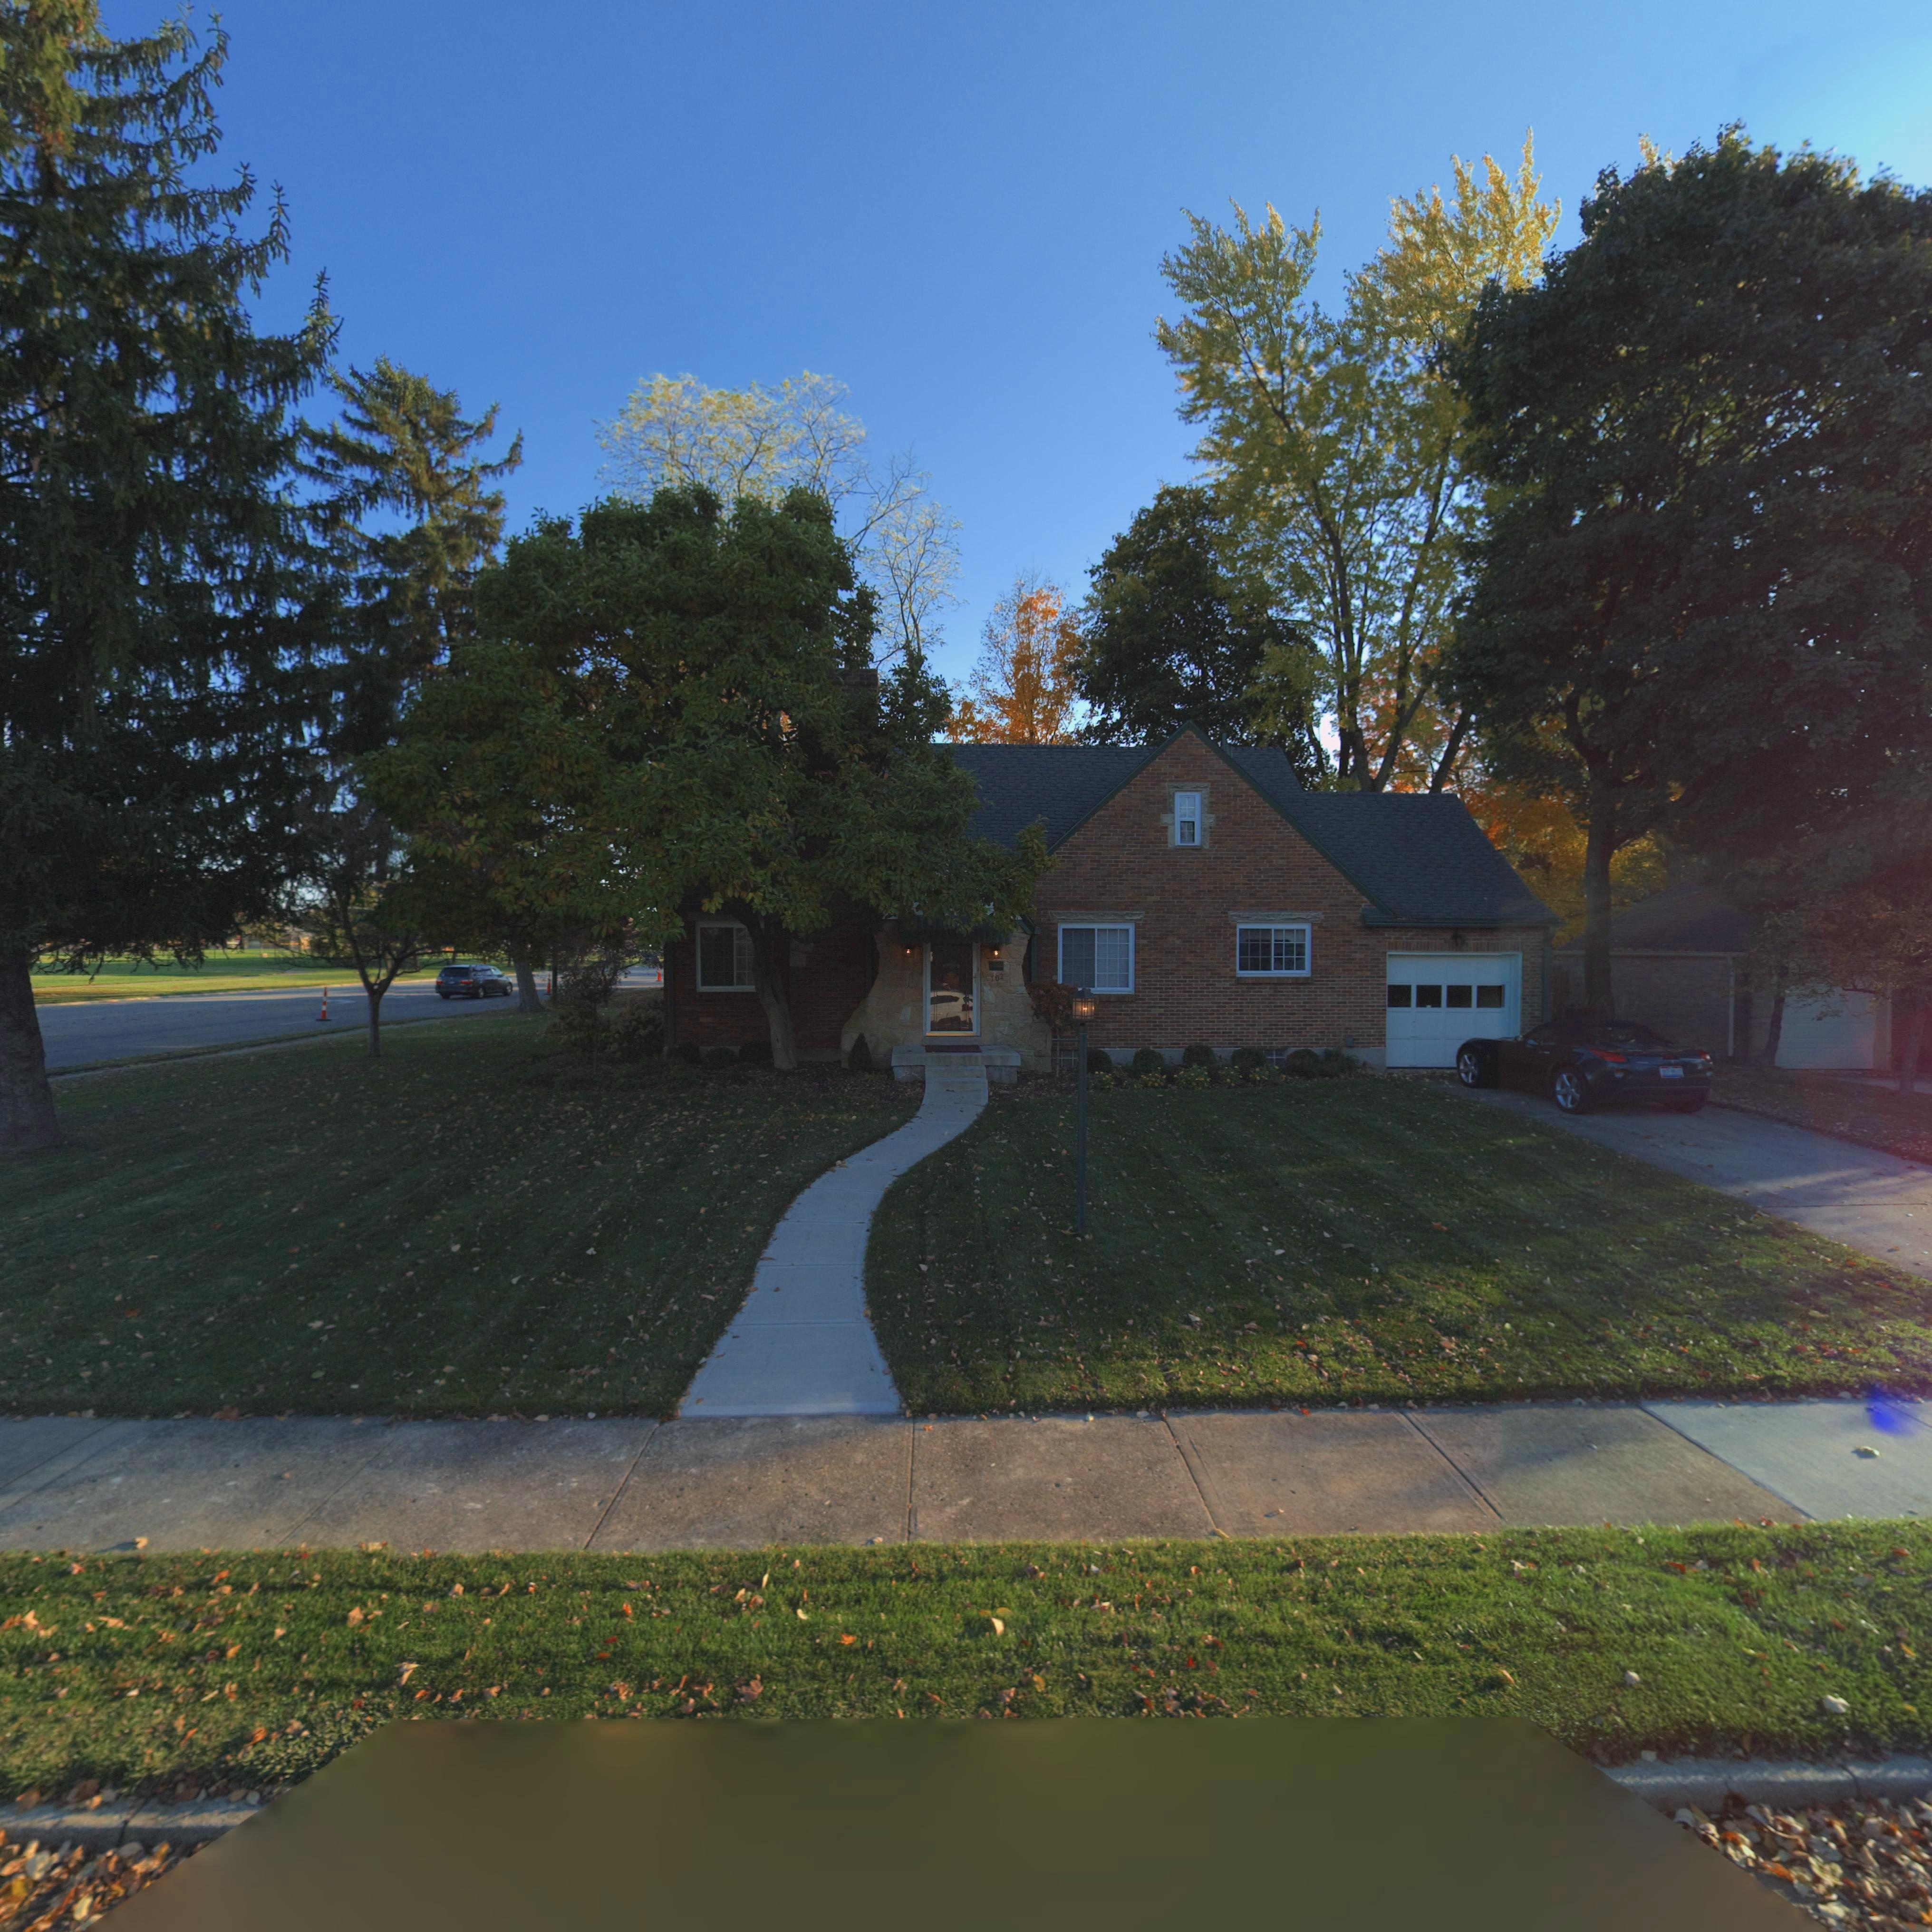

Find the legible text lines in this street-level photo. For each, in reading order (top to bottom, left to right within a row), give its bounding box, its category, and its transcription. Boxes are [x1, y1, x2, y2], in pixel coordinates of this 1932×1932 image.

[990, 971, 1005, 983] StreetNumber: 102